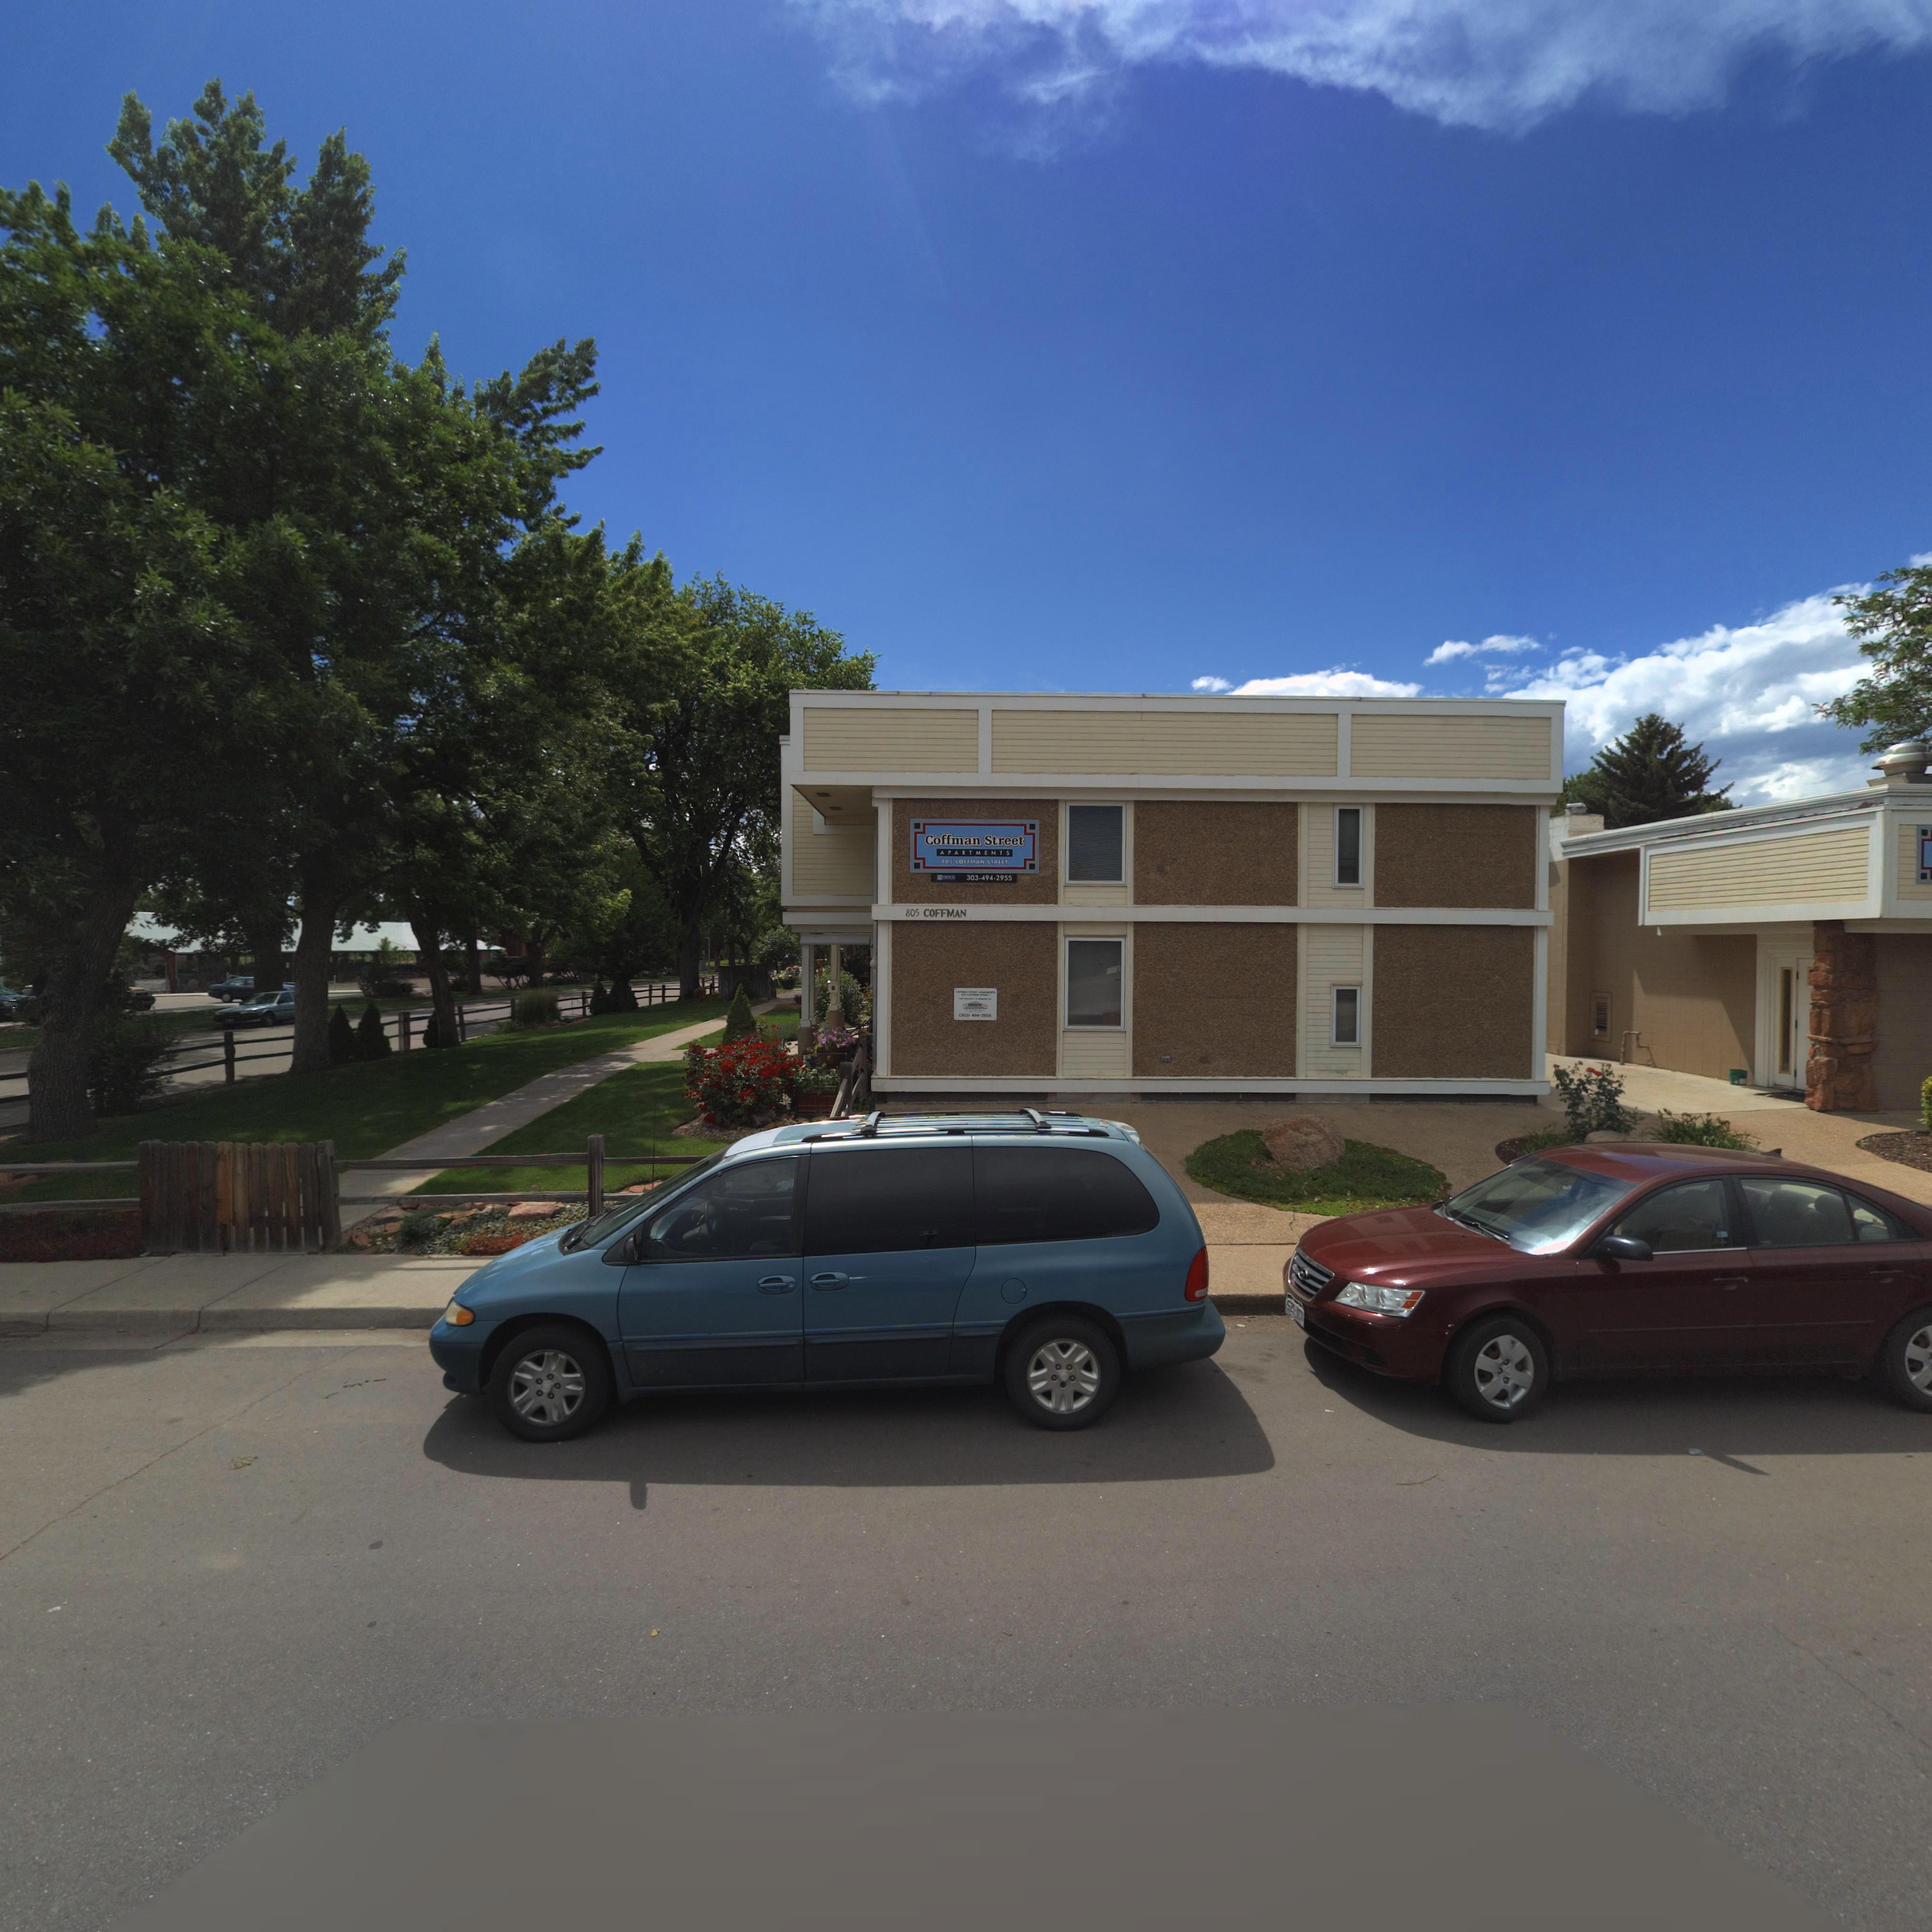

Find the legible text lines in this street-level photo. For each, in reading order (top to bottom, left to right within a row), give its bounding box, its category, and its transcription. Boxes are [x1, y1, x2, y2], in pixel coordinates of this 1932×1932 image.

[926, 835, 1023, 845] BusinessName: Coffman Street
[940, 850, 1009, 855] BusinessName: APARTMENTS
[941, 860, 952, 864] StreetNumber: 805
[956, 860, 1008, 864] StreetName: COFFMAN STREET
[906, 908, 918, 917] StreetNumber: 805
[924, 908, 966, 917] StreetName: COFFMAN